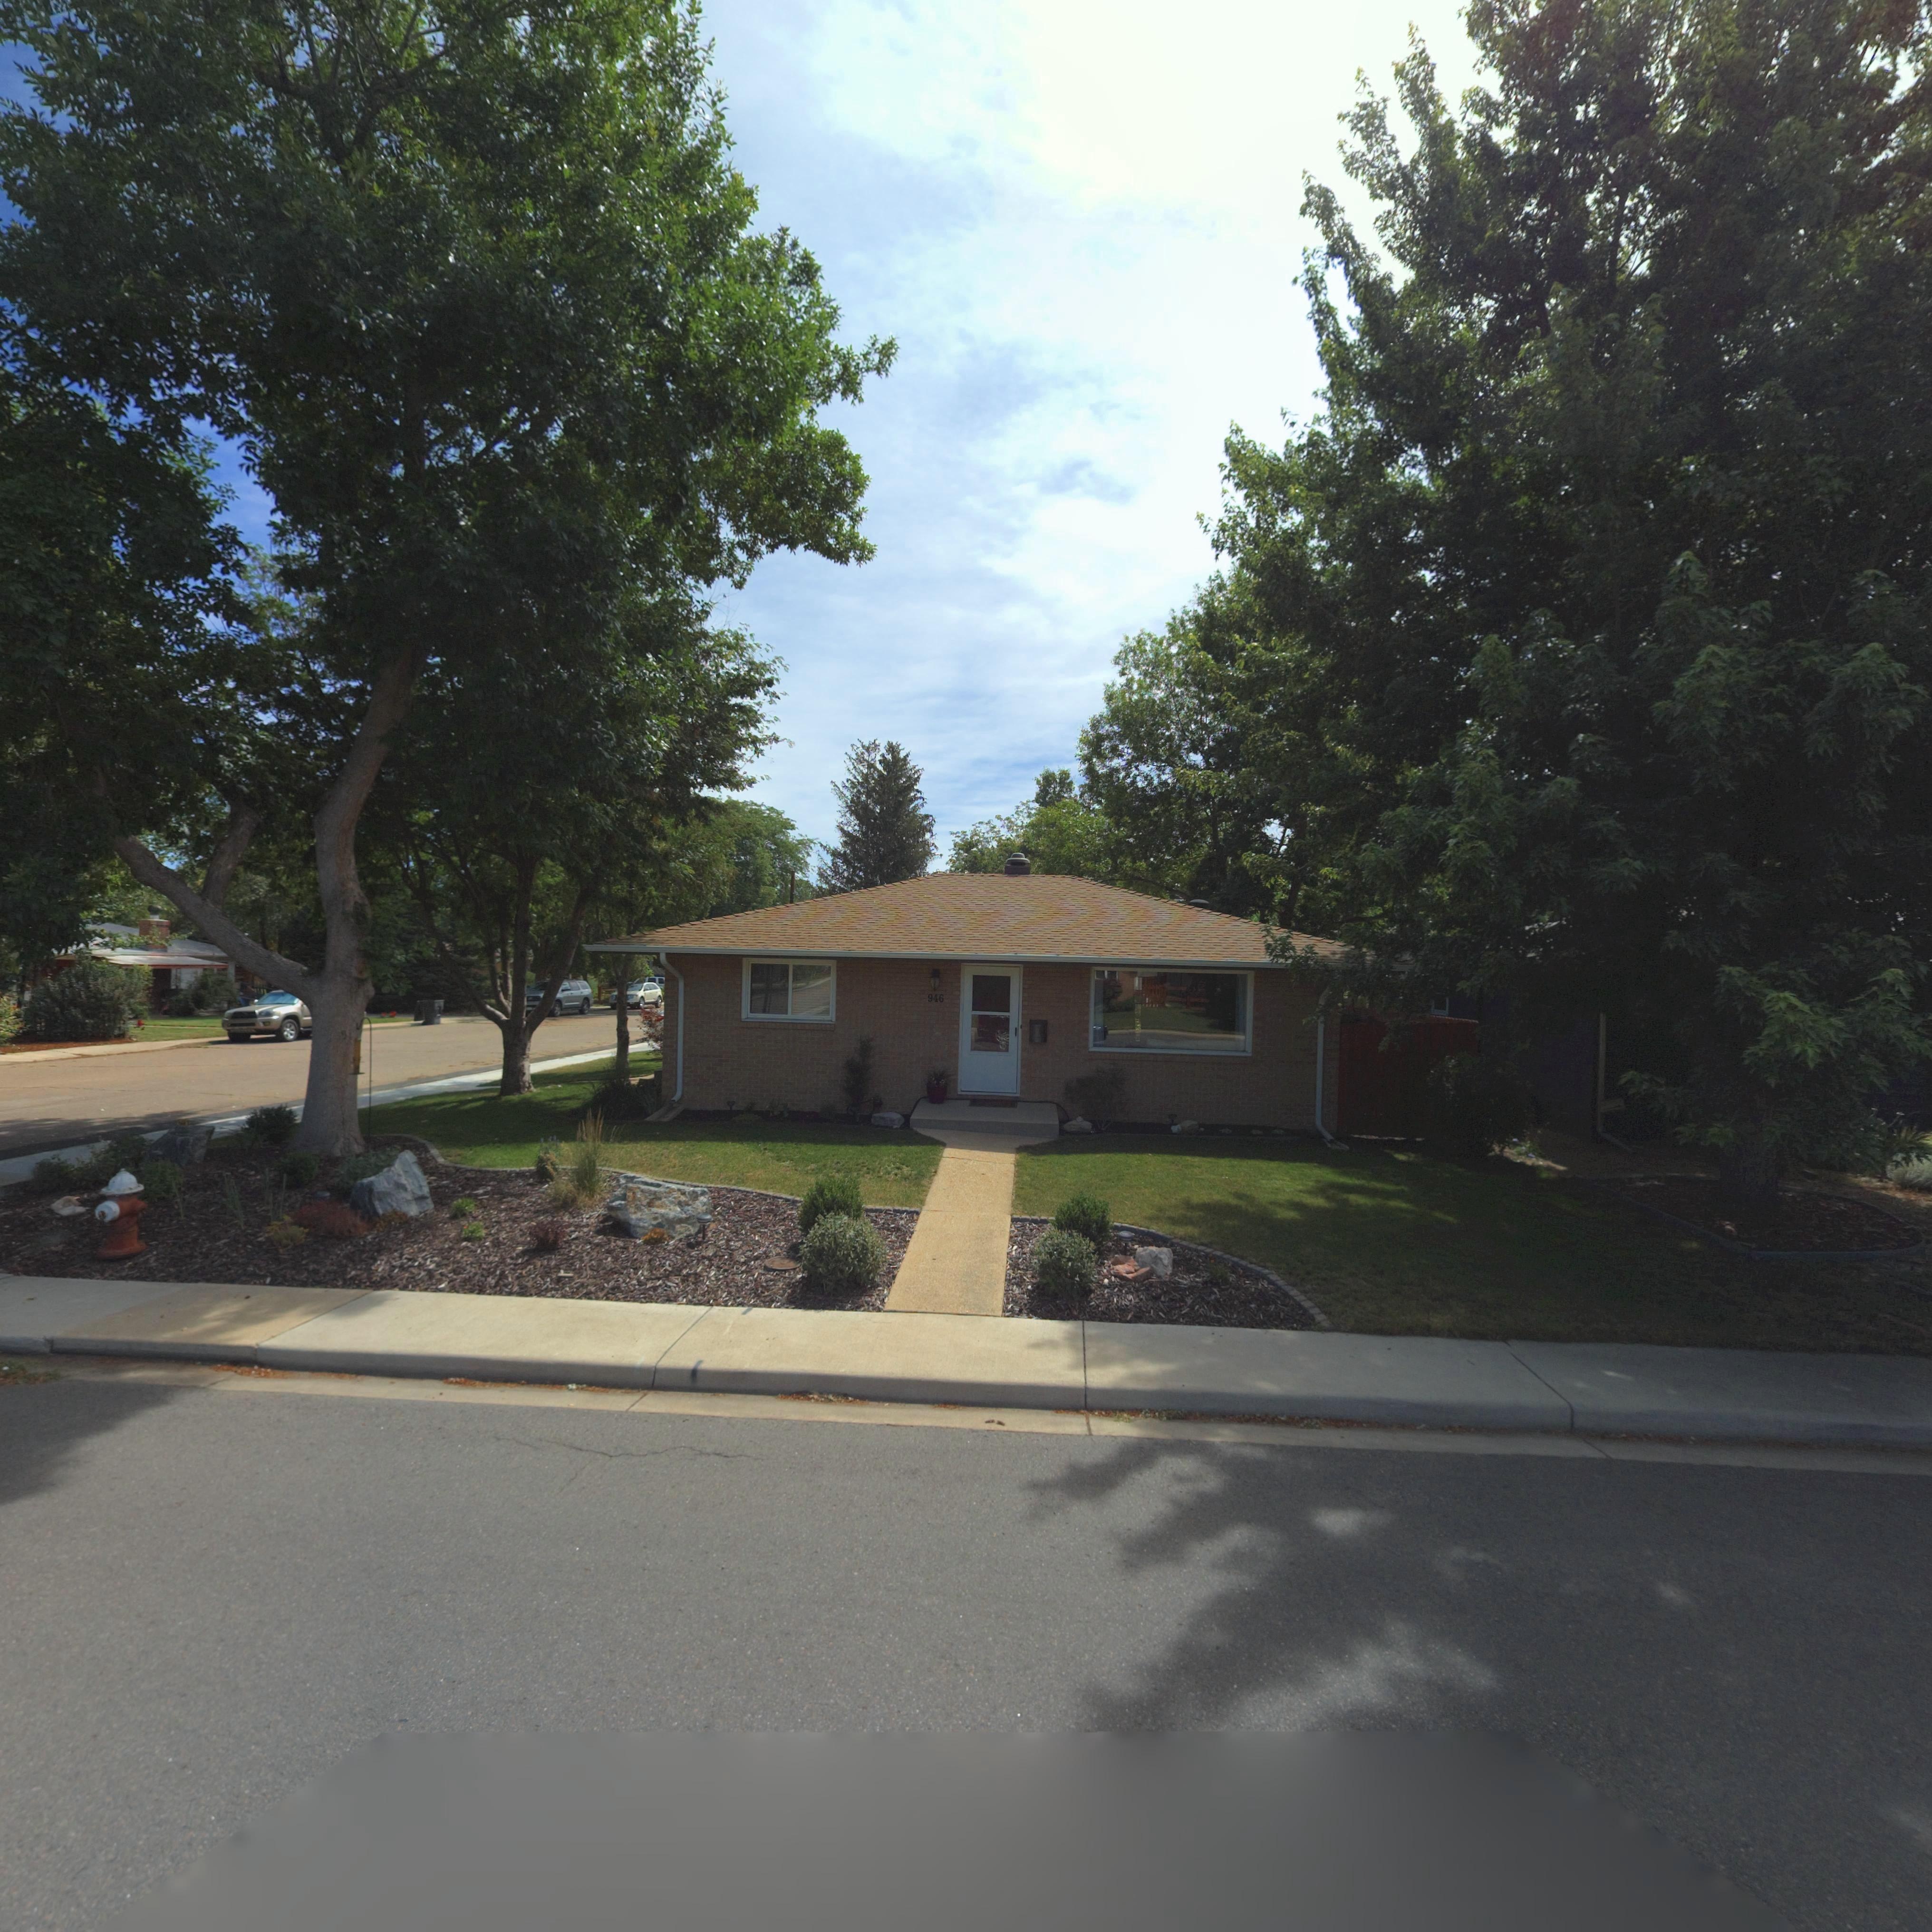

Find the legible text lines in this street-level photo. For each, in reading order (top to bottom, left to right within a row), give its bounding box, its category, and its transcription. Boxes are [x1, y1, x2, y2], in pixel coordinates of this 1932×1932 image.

[927, 993, 945, 1003] StreetNumber: 946